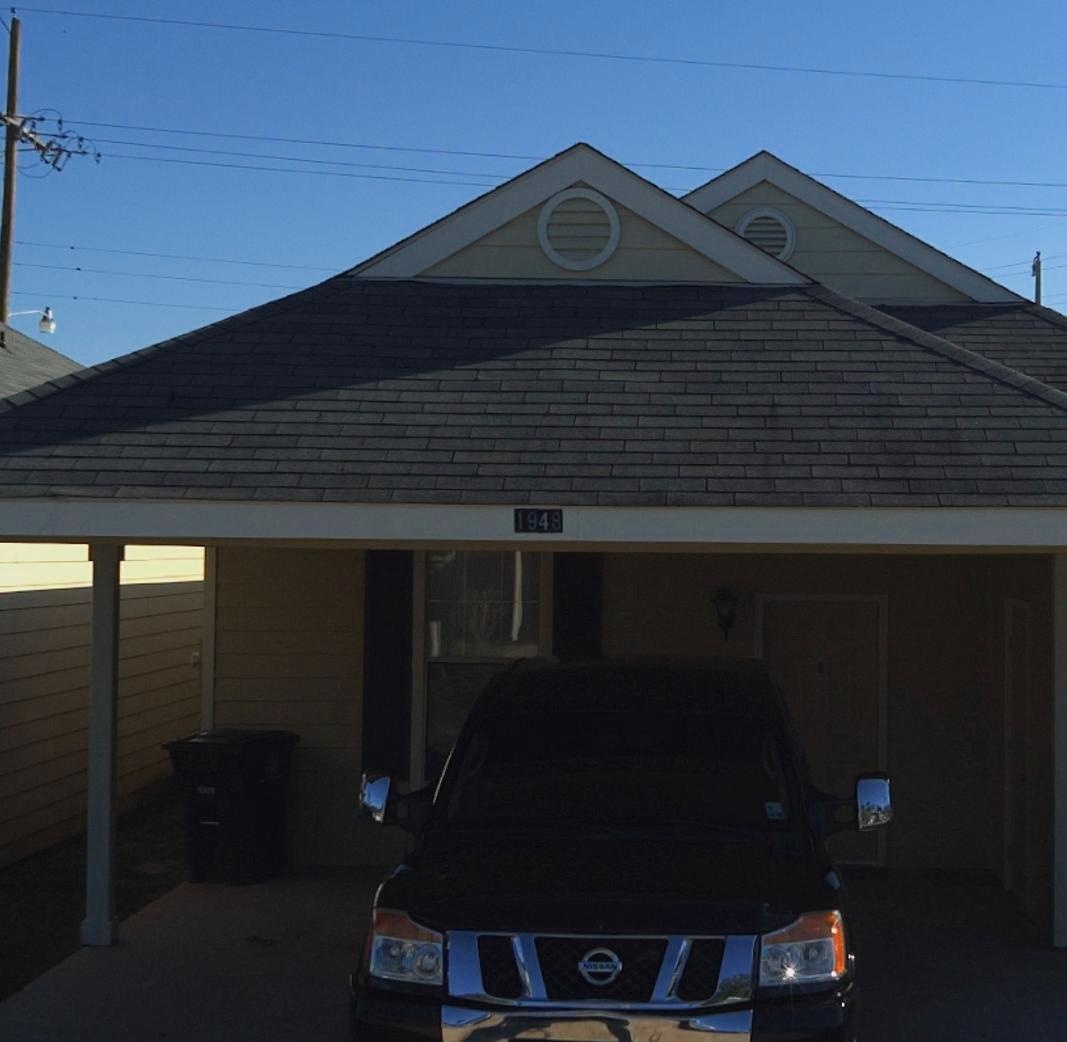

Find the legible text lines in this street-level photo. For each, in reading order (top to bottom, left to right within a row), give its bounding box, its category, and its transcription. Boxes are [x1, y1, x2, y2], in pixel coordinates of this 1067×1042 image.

[516, 509, 563, 532] StreetNumber: 1948
[582, 962, 619, 971] None: NISSAN